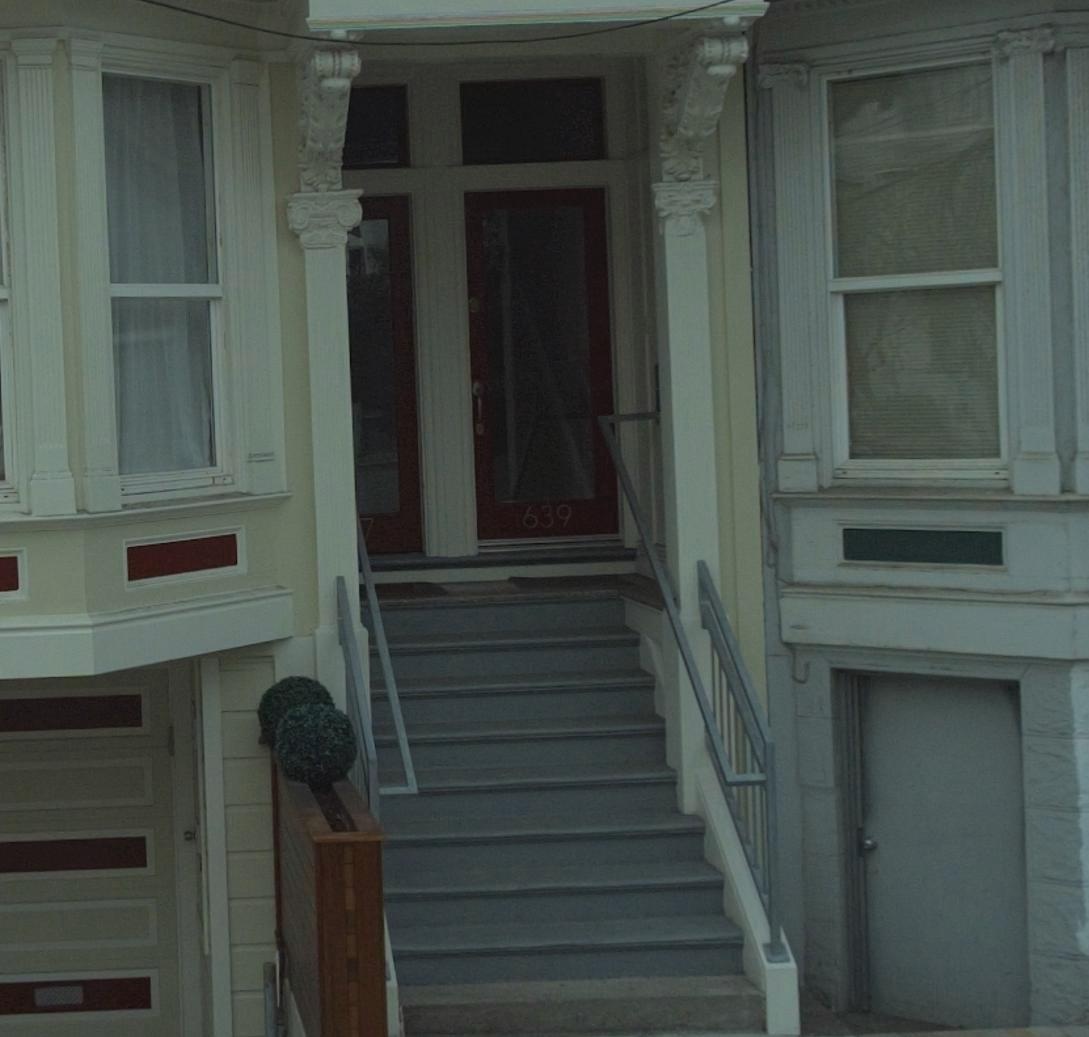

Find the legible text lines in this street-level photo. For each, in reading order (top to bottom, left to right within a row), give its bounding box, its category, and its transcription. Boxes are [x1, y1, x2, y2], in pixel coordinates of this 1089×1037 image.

[521, 503, 574, 529] StreetNumber: 639